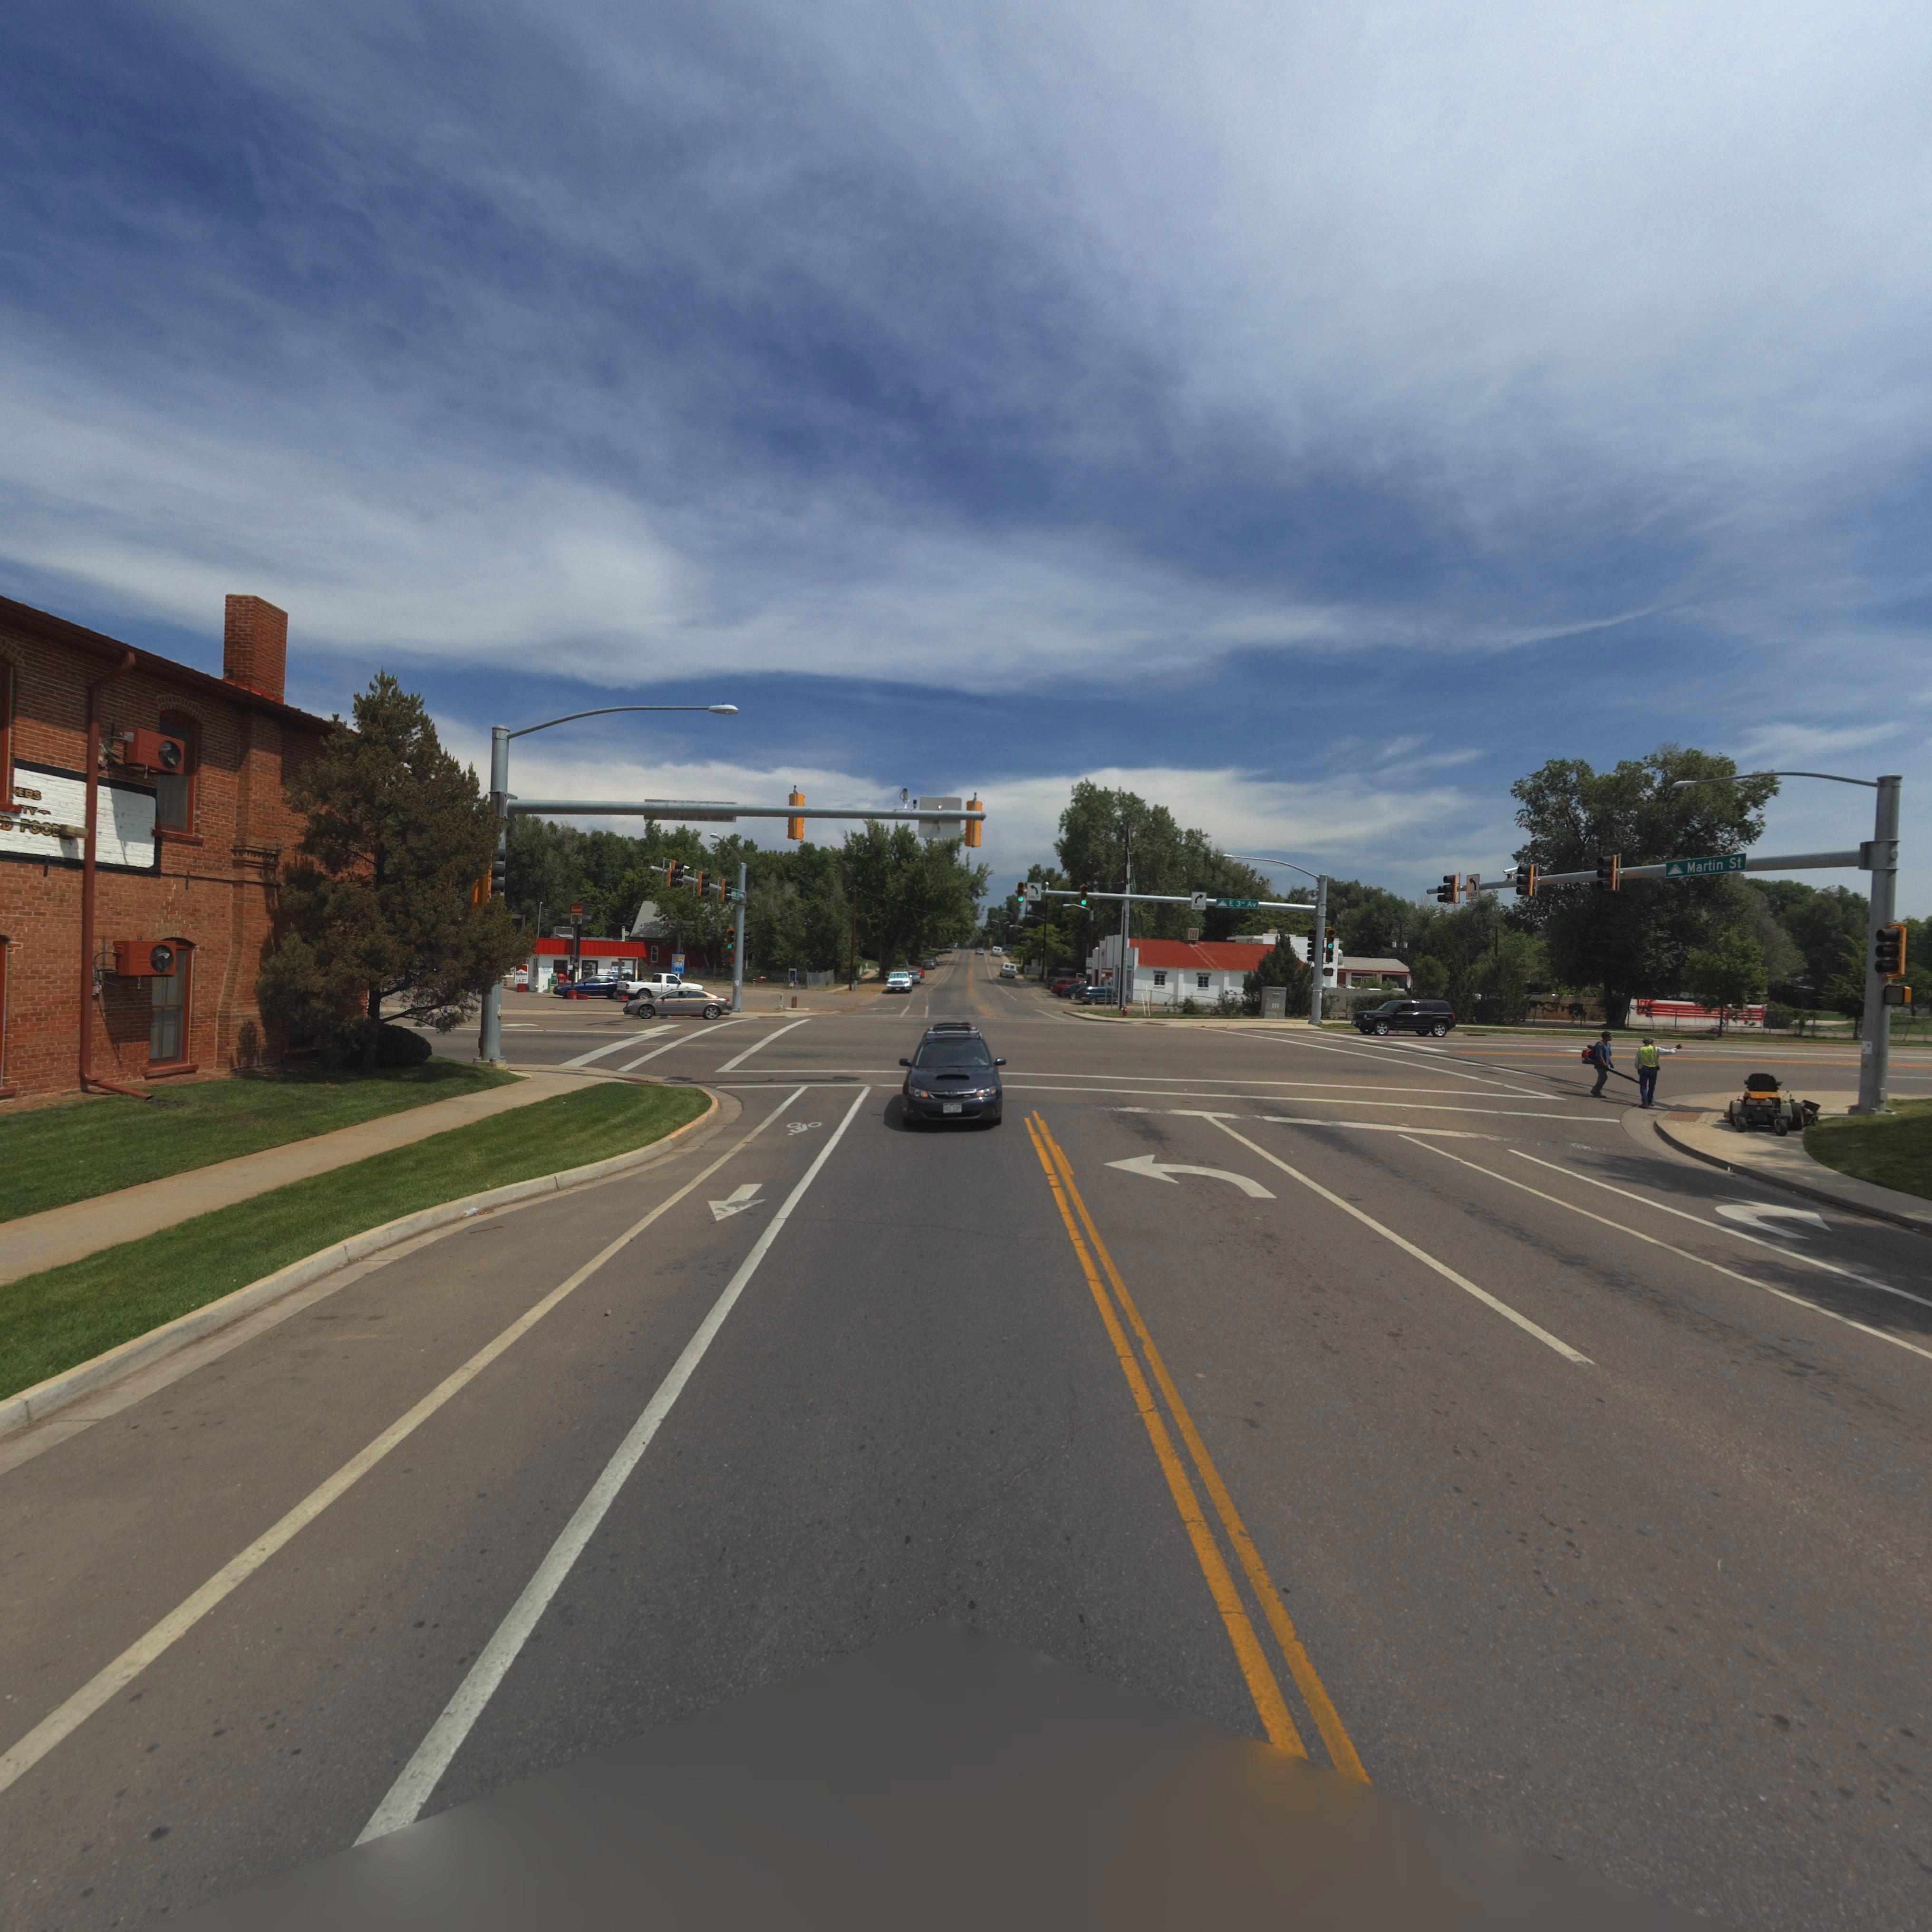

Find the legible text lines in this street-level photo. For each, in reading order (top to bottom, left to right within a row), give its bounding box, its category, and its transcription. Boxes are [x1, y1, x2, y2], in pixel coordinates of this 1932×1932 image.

[1686, 856, 1742, 873] StreetName: Martin St
[1229, 899, 1257, 908] StreetName: E 3rd Av